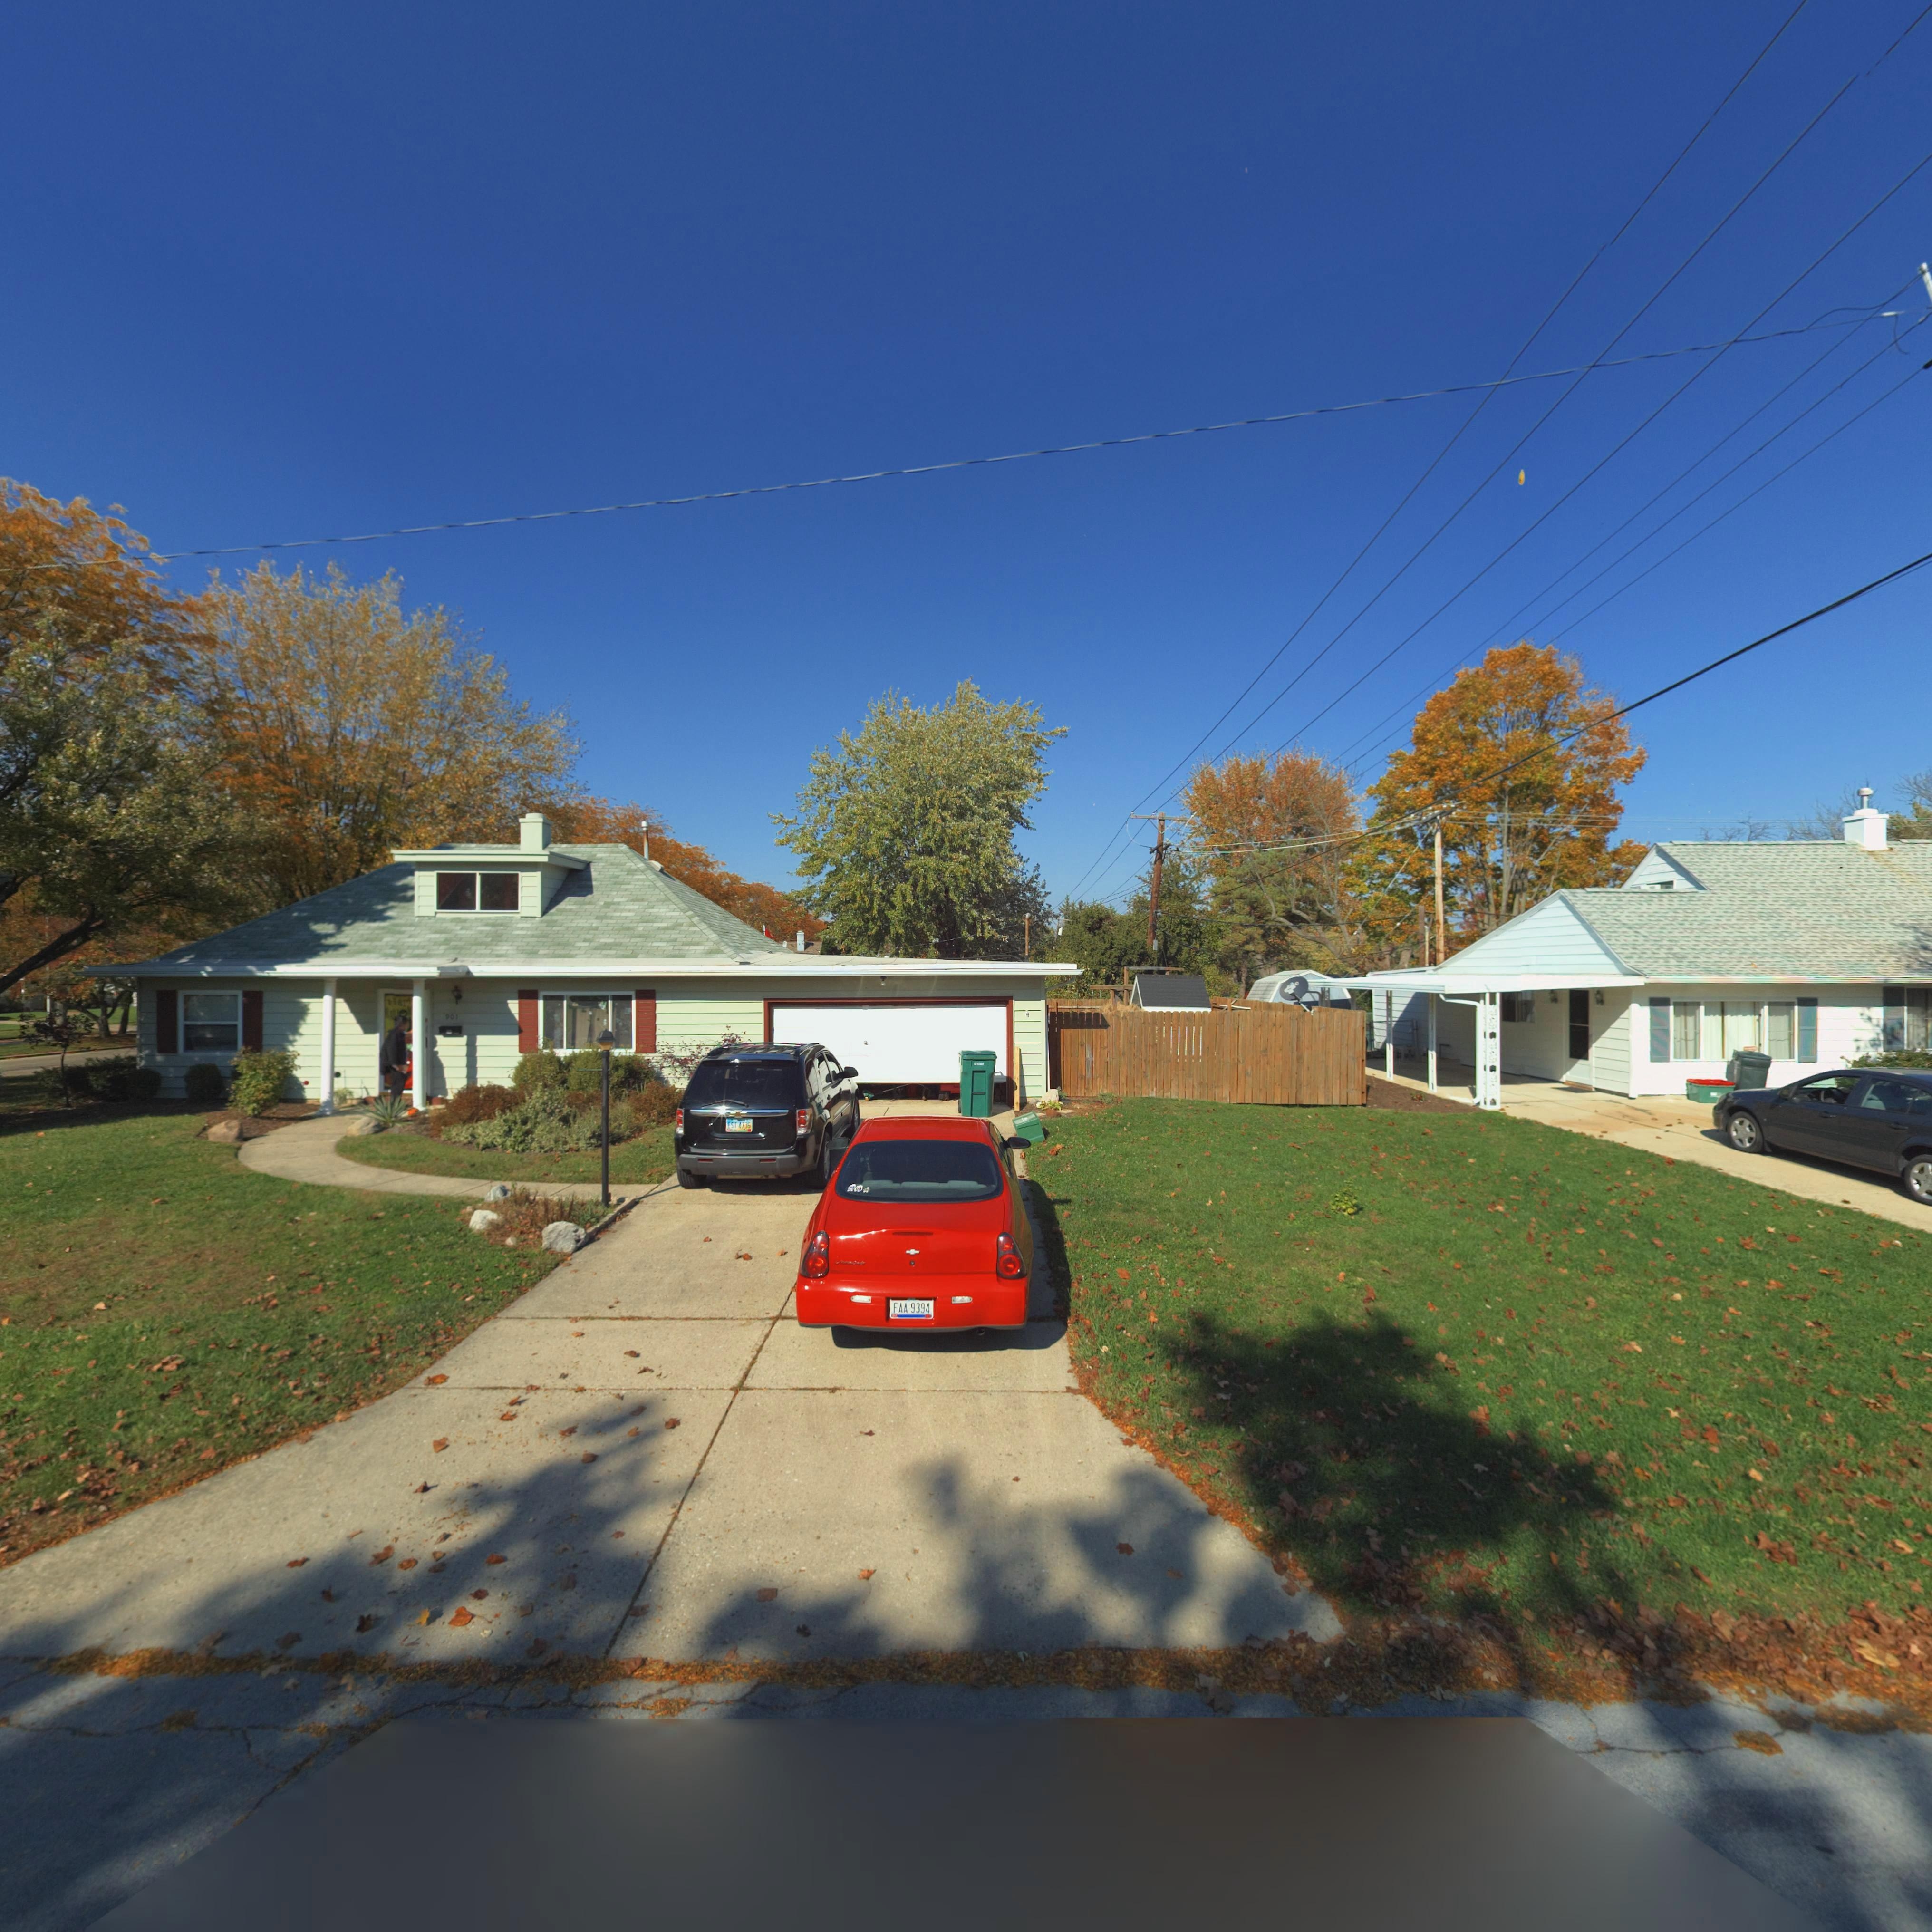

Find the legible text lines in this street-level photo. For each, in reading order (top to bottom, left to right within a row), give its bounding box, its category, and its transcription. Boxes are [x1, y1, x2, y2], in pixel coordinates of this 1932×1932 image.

[444, 1012, 459, 1021] StreetNumber: 901
[727, 1121, 752, 1130] None: EST 47*6
[893, 1302, 930, 1314] None: FAA 9394